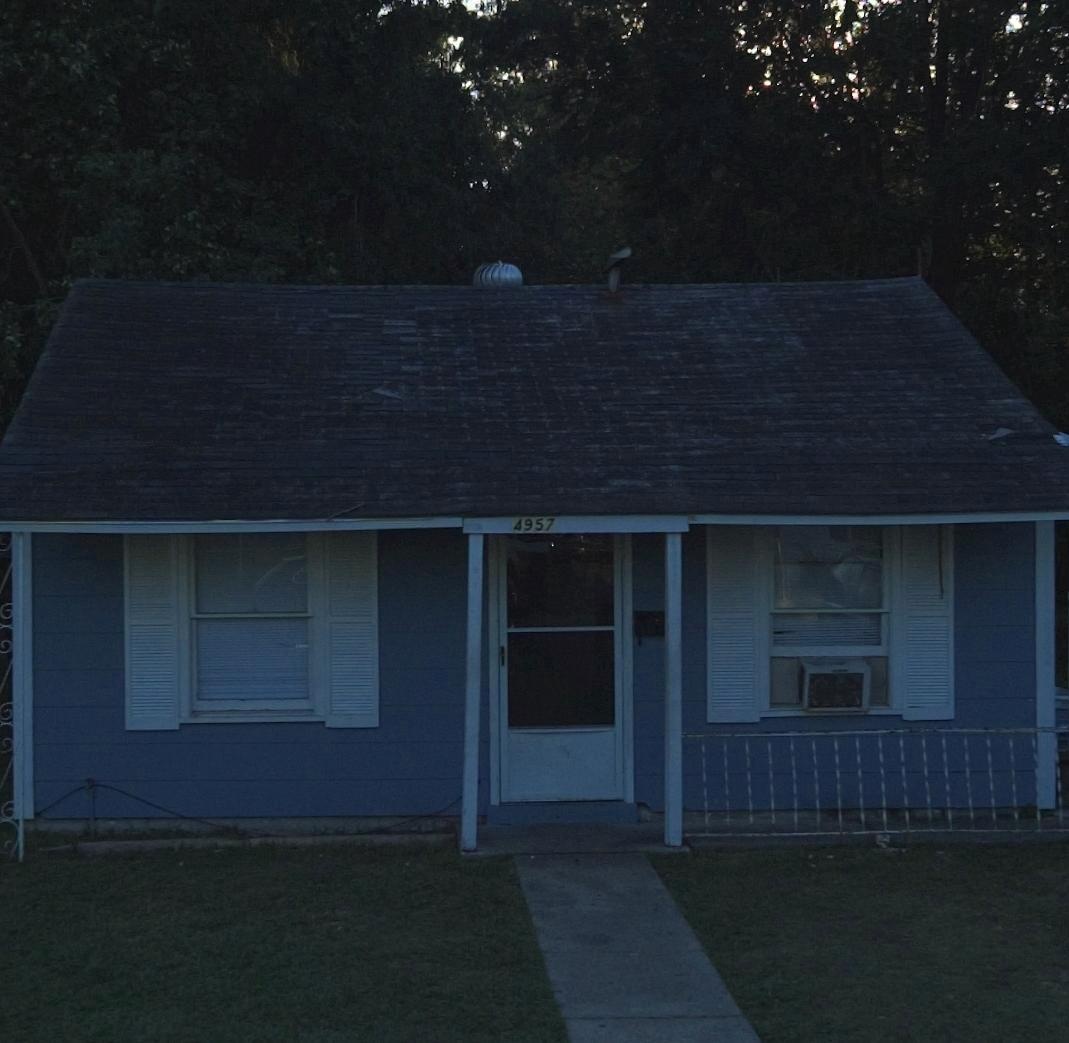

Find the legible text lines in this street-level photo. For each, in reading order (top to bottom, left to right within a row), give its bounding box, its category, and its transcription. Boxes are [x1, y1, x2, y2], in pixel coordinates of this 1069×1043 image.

[512, 518, 556, 532] StreetNumber: 4957